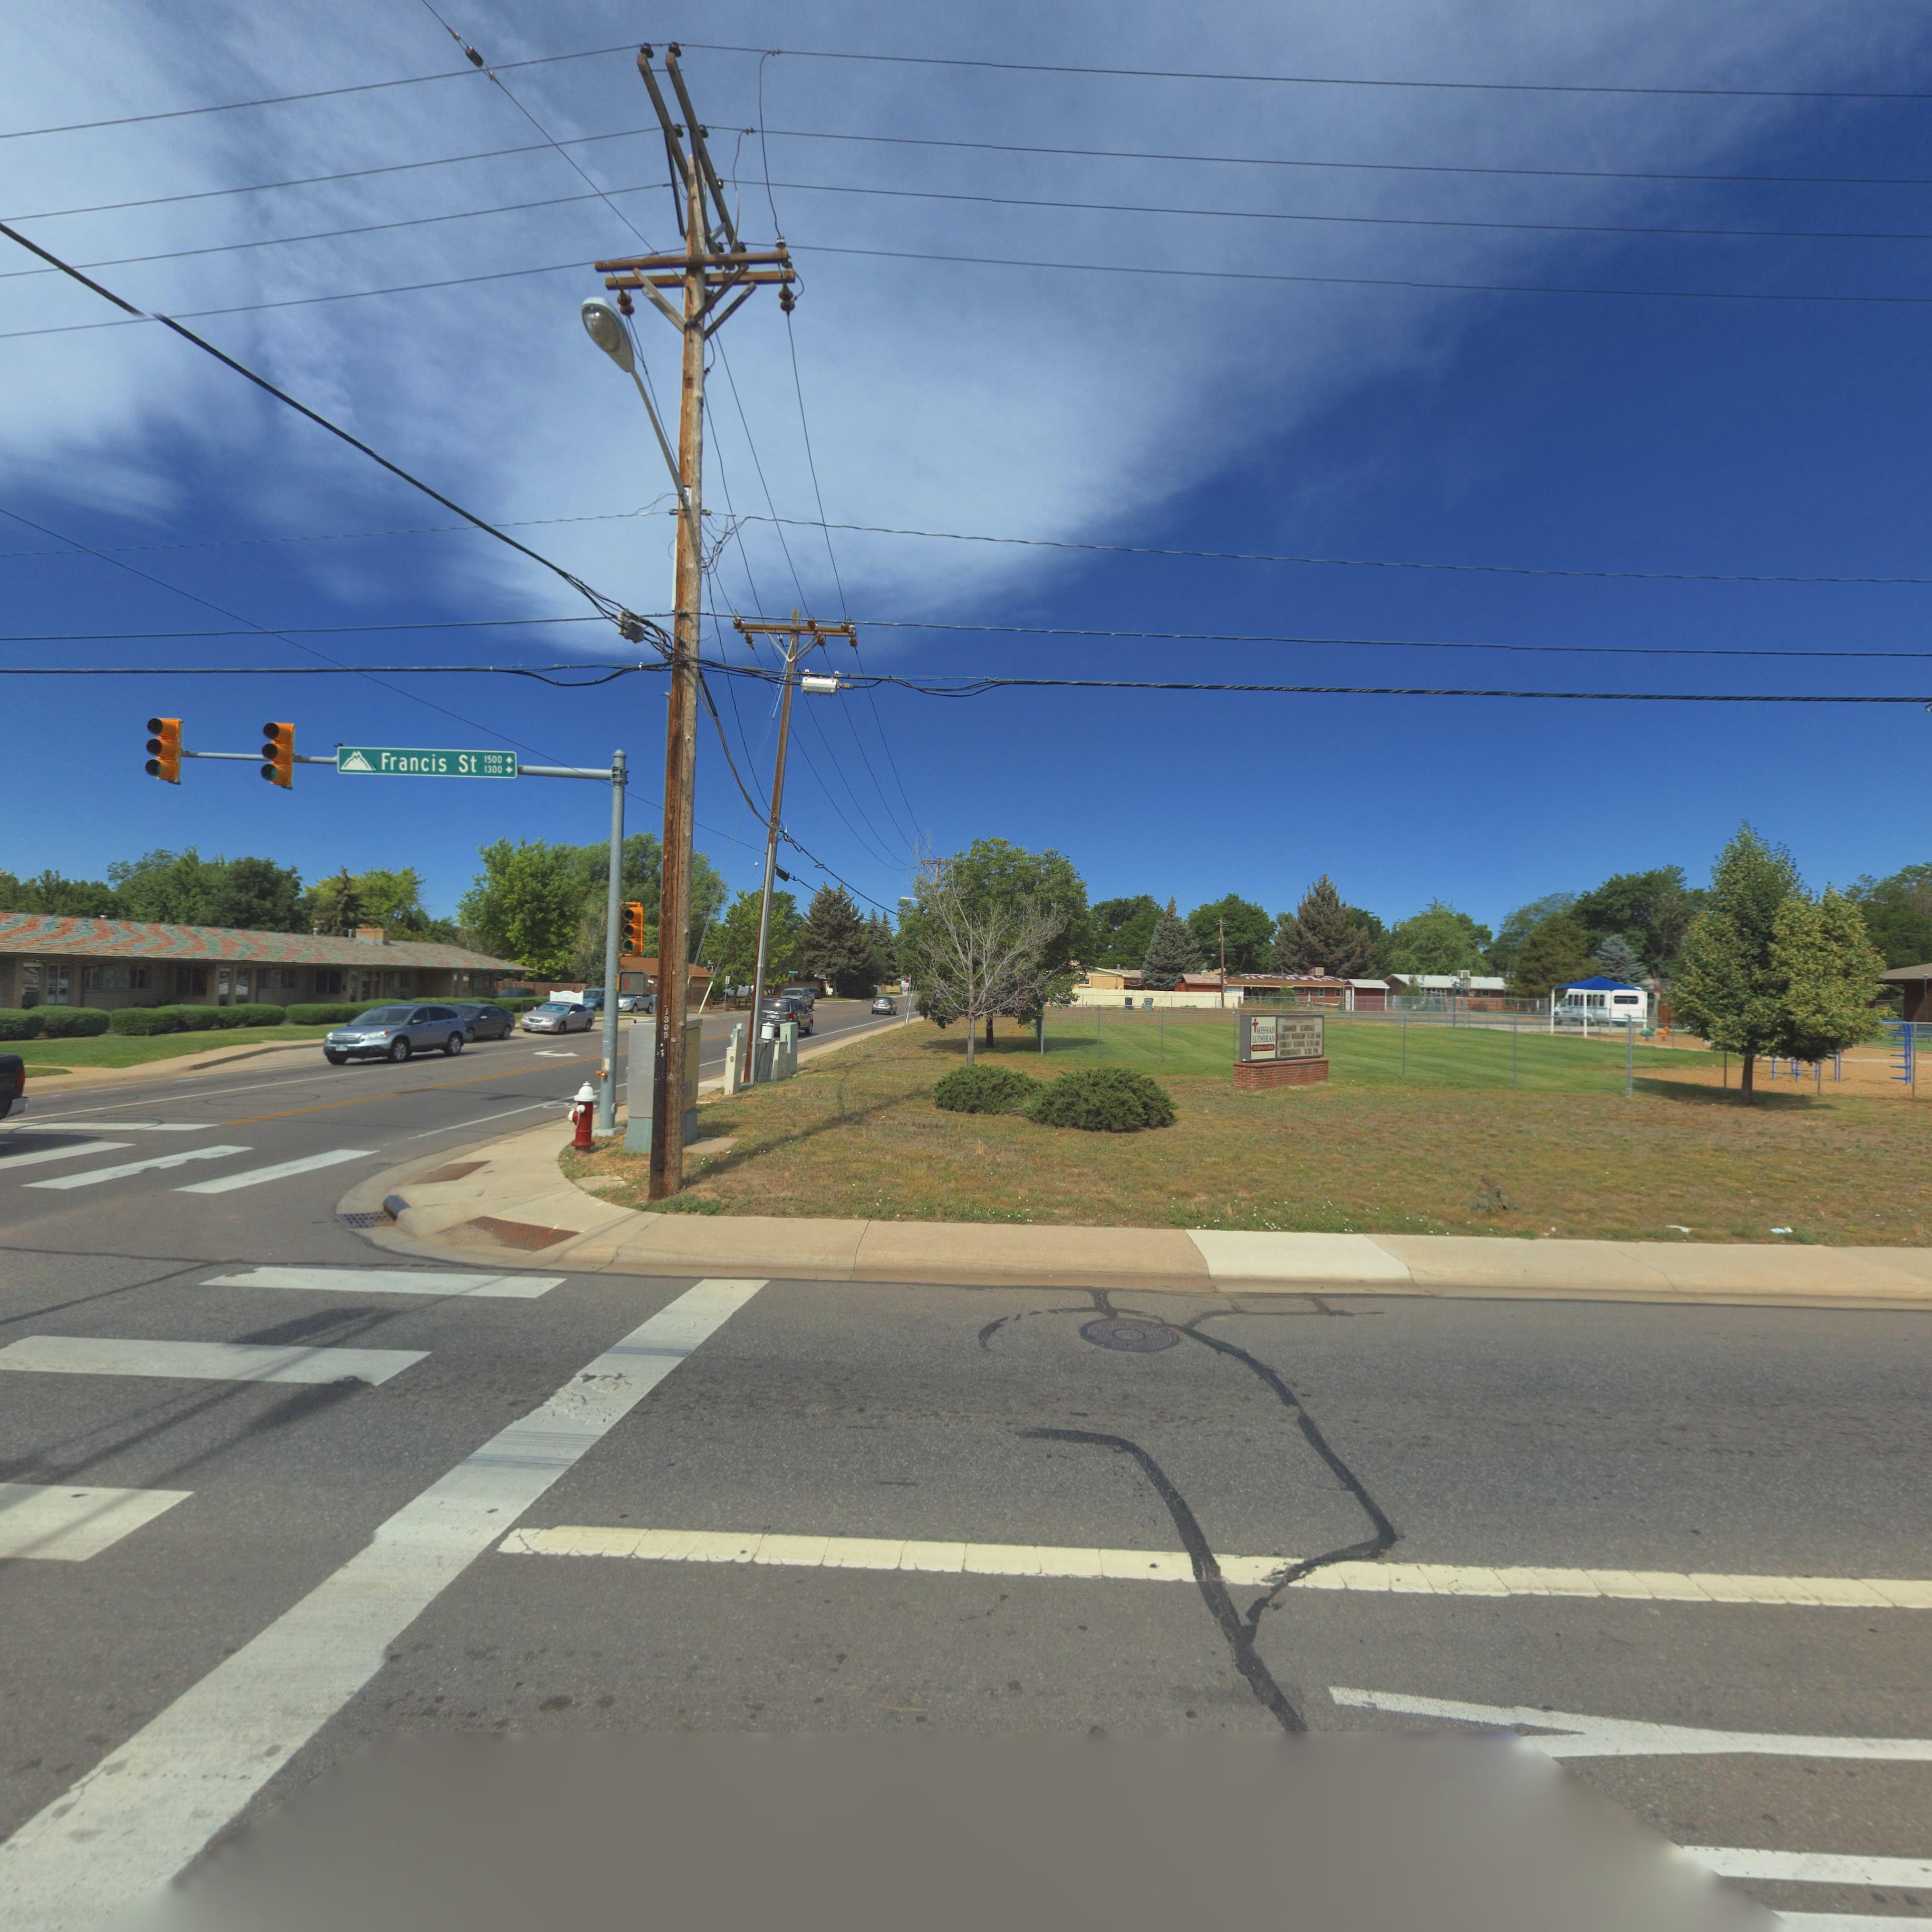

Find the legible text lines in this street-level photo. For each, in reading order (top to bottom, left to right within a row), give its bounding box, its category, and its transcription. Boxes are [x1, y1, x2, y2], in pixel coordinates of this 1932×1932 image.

[381, 752, 477, 773] StreetName: Francis St
[484, 755, 502, 763] StreetNumberRange: 1500
[484, 765, 513, 773] StreetNumberRange: 1300->
[1256, 1026, 1275, 1034] BusinessName: MESSIAH
[1252, 1034, 1275, 1043] BusinessName: LUTHERAN